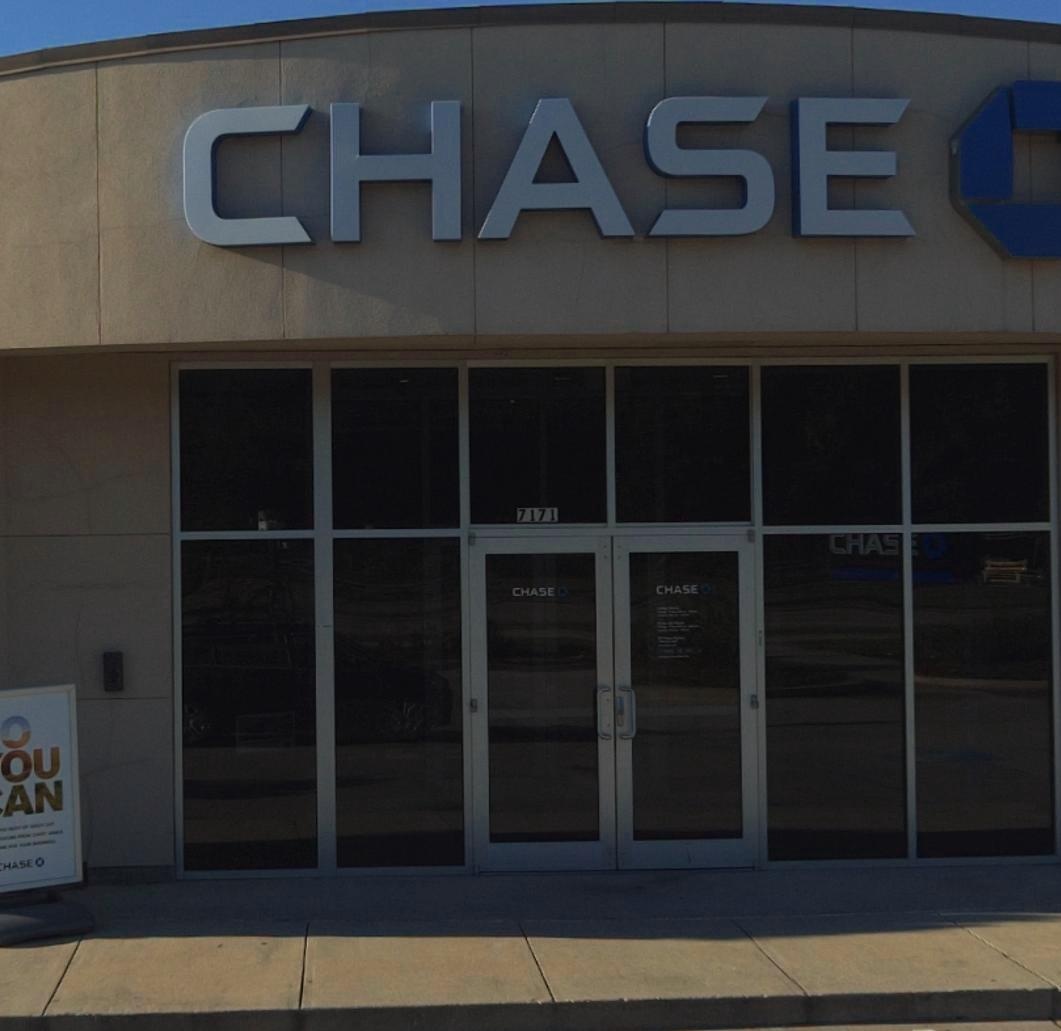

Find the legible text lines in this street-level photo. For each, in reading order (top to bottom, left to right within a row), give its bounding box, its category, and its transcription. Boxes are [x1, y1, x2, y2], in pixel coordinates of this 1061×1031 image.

[180, 94, 920, 250] BusinessName: CHASE
[517, 508, 557, 522] StreetNumber: 7171
[828, 531, 920, 557] BusinessName: CHAS*
[511, 586, 555, 598] BusinessName: CHASE
[655, 583, 699, 596] BusinessName: CHASE
[0, 714, 32, 750] None: O
[0, 745, 61, 784] None: OU
[0, 778, 65, 819] None: AN
[2, 858, 34, 872] BusinessName: HASE